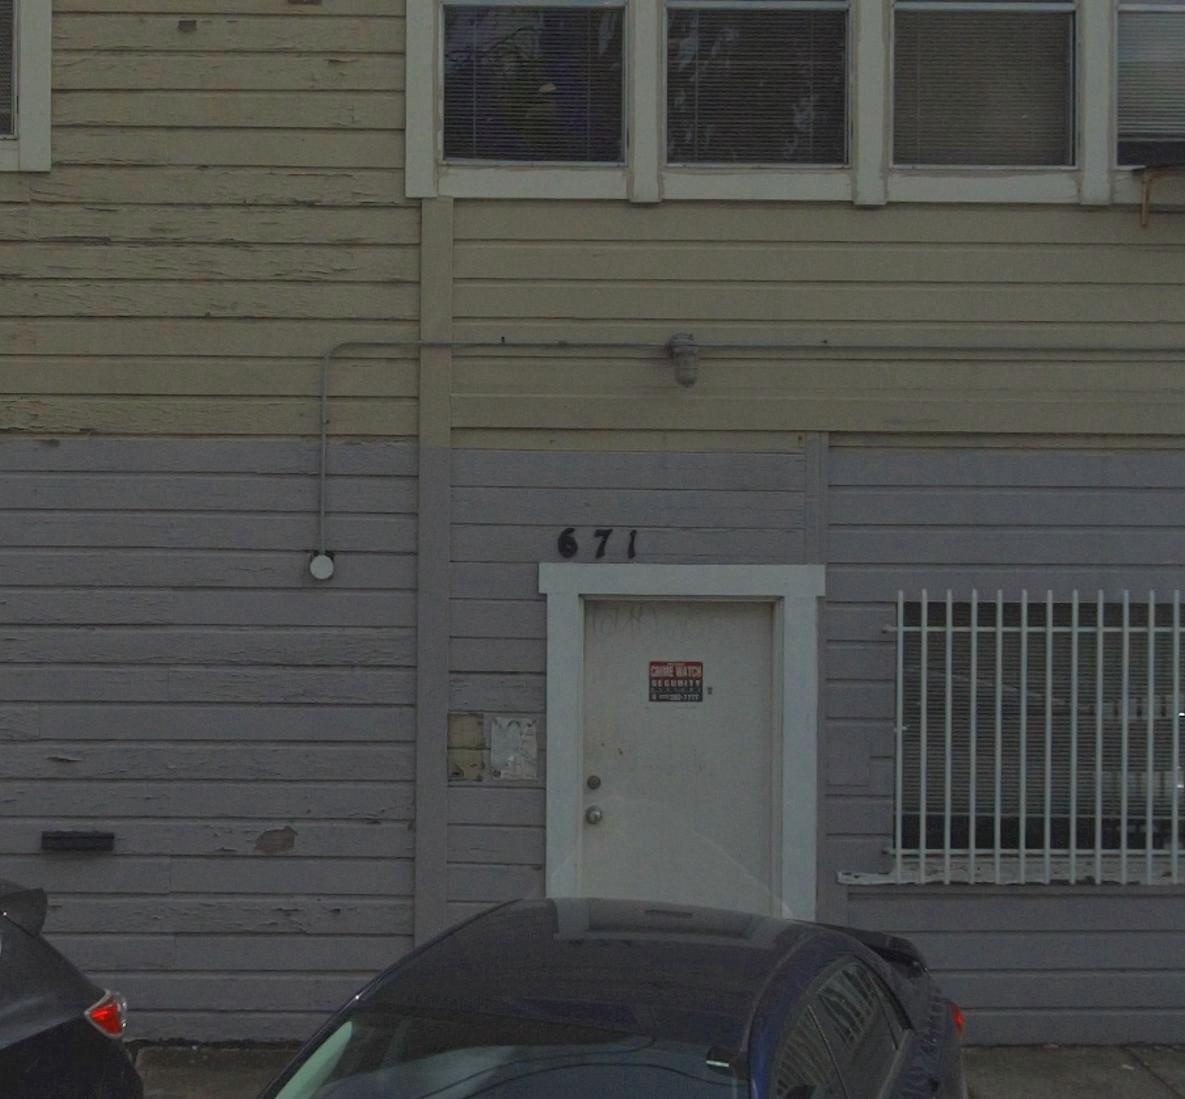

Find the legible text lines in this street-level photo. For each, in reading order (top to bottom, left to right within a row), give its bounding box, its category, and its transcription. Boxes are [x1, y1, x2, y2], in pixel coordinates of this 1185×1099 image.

[557, 526, 639, 560] StreetNumber: 671
[650, 665, 701, 677] None: CRIME WATCH
[650, 679, 701, 687] None: SECURITY